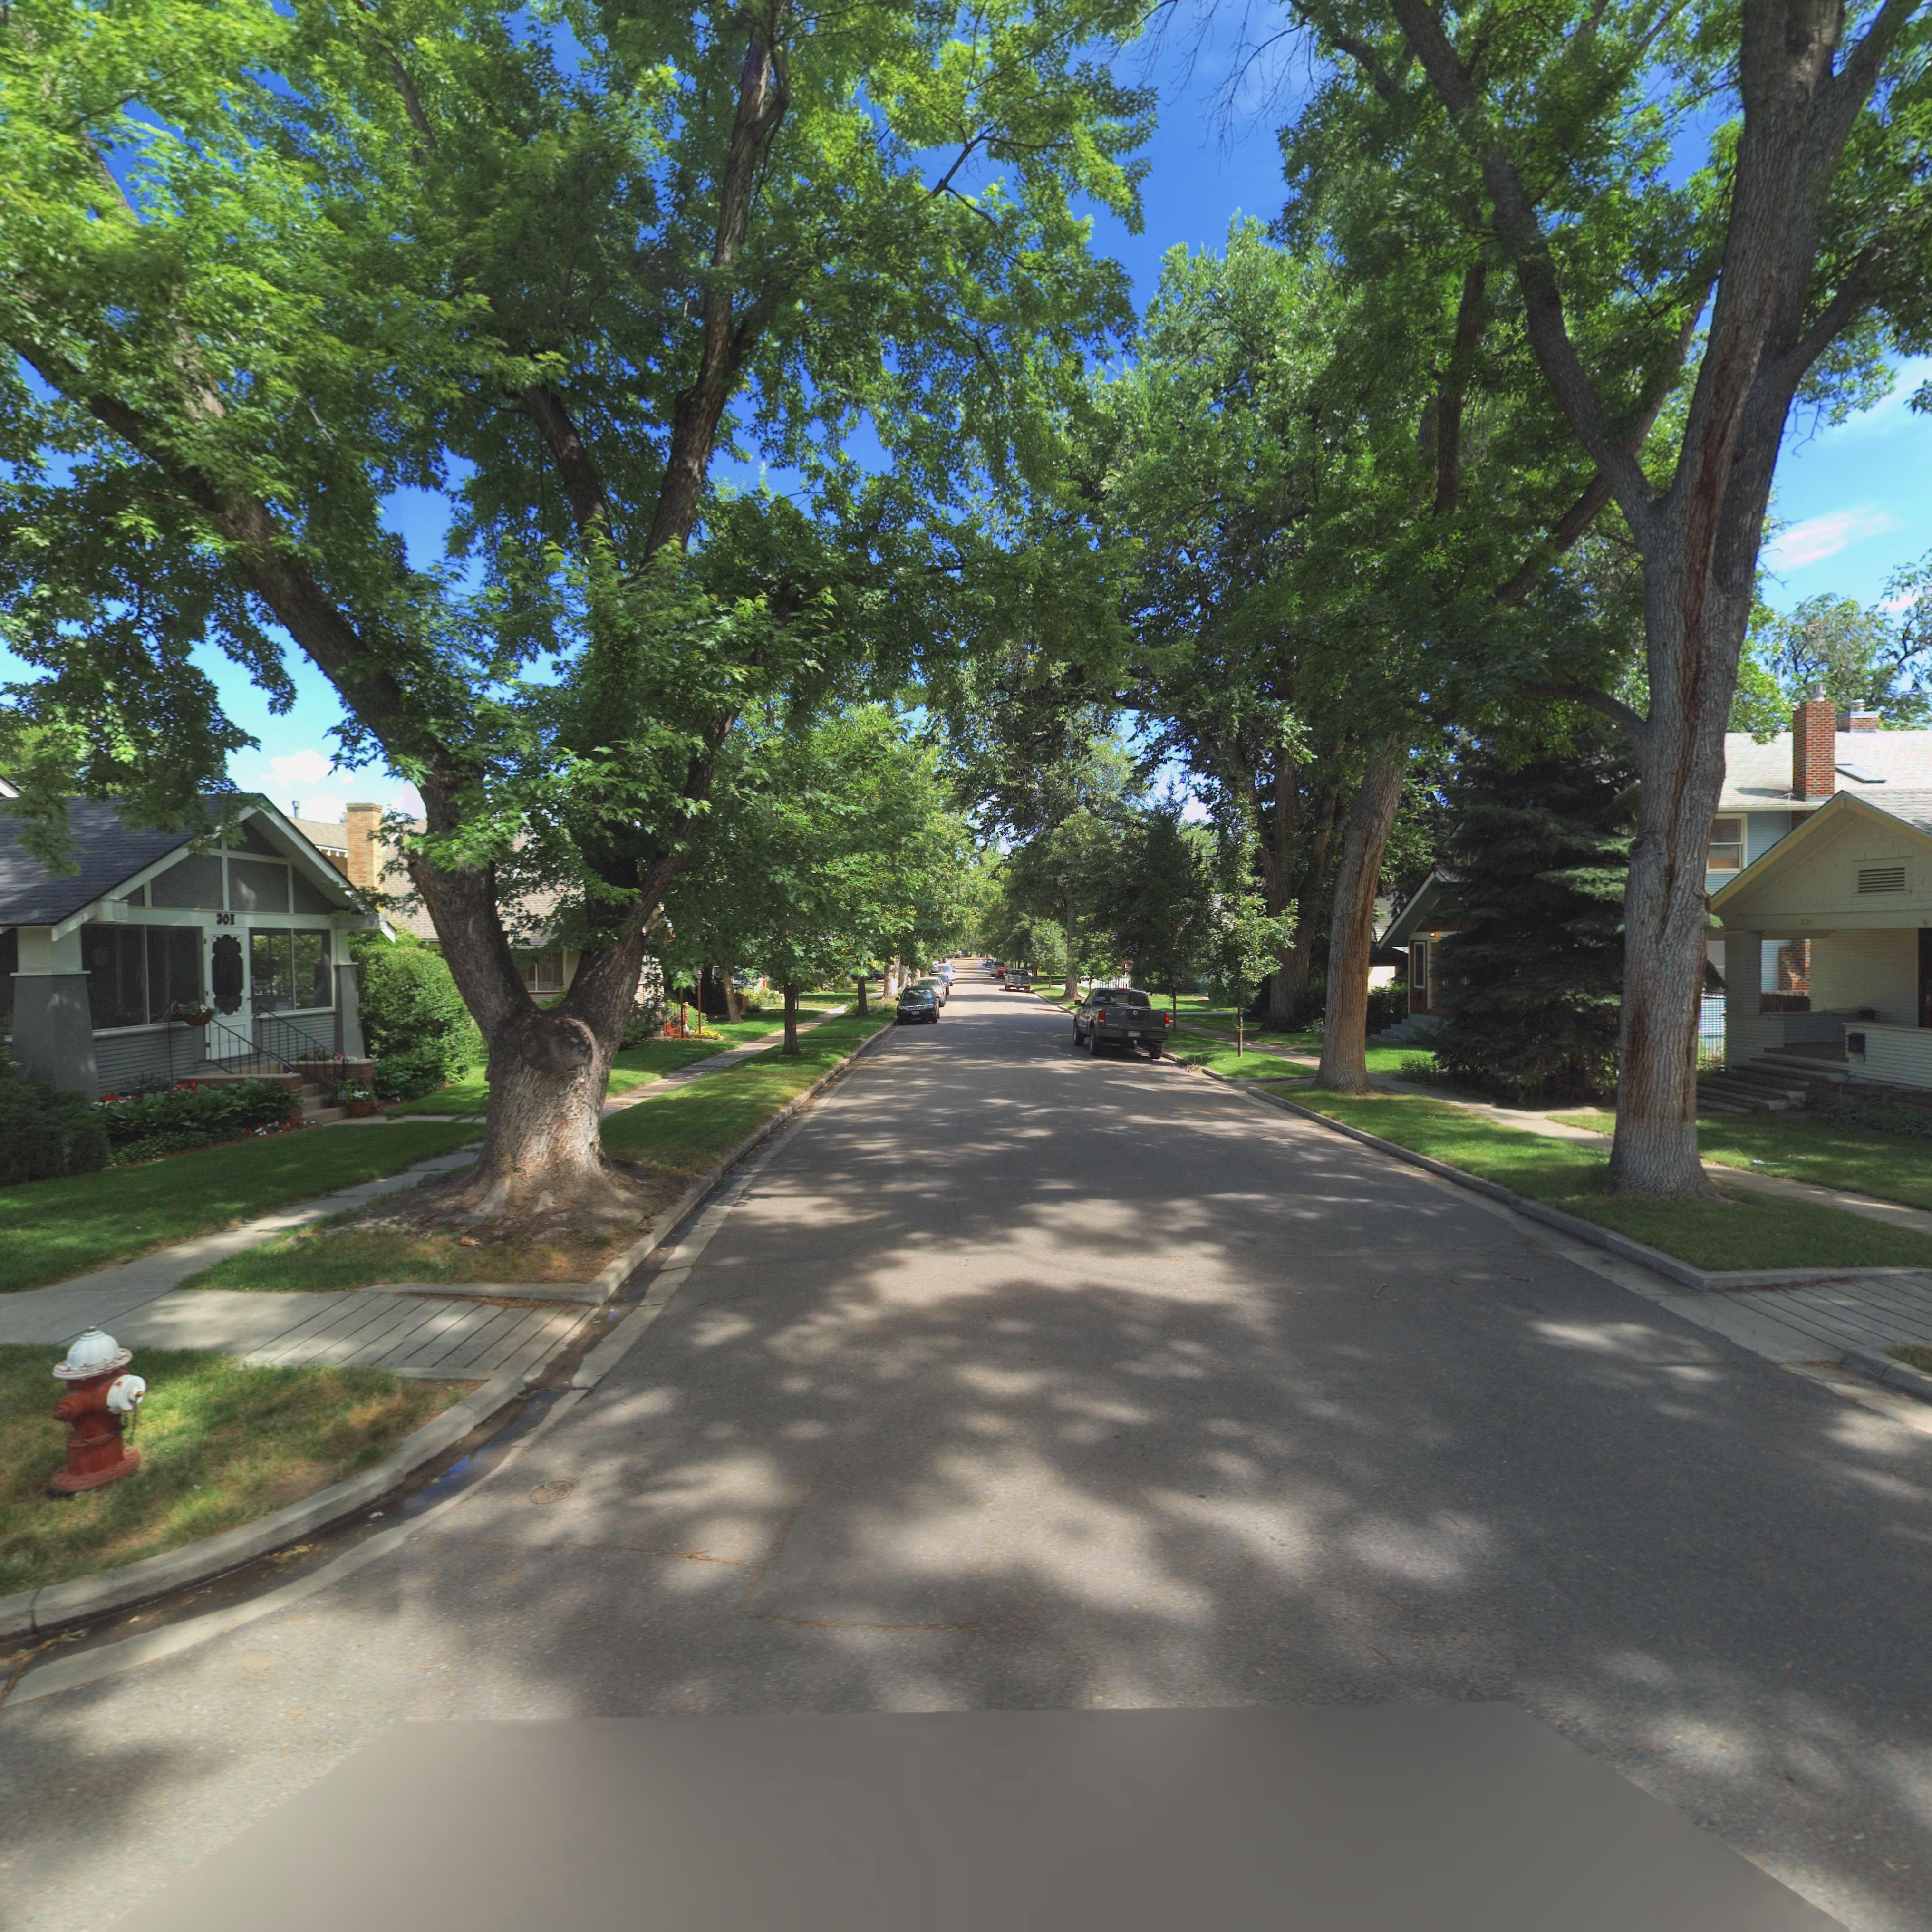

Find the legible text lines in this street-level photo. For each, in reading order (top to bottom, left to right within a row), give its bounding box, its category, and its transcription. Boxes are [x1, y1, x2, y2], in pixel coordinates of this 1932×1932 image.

[216, 912, 235, 925] StreetNumber: 30I
[1800, 918, 1812, 925] StreetNumber: 30*